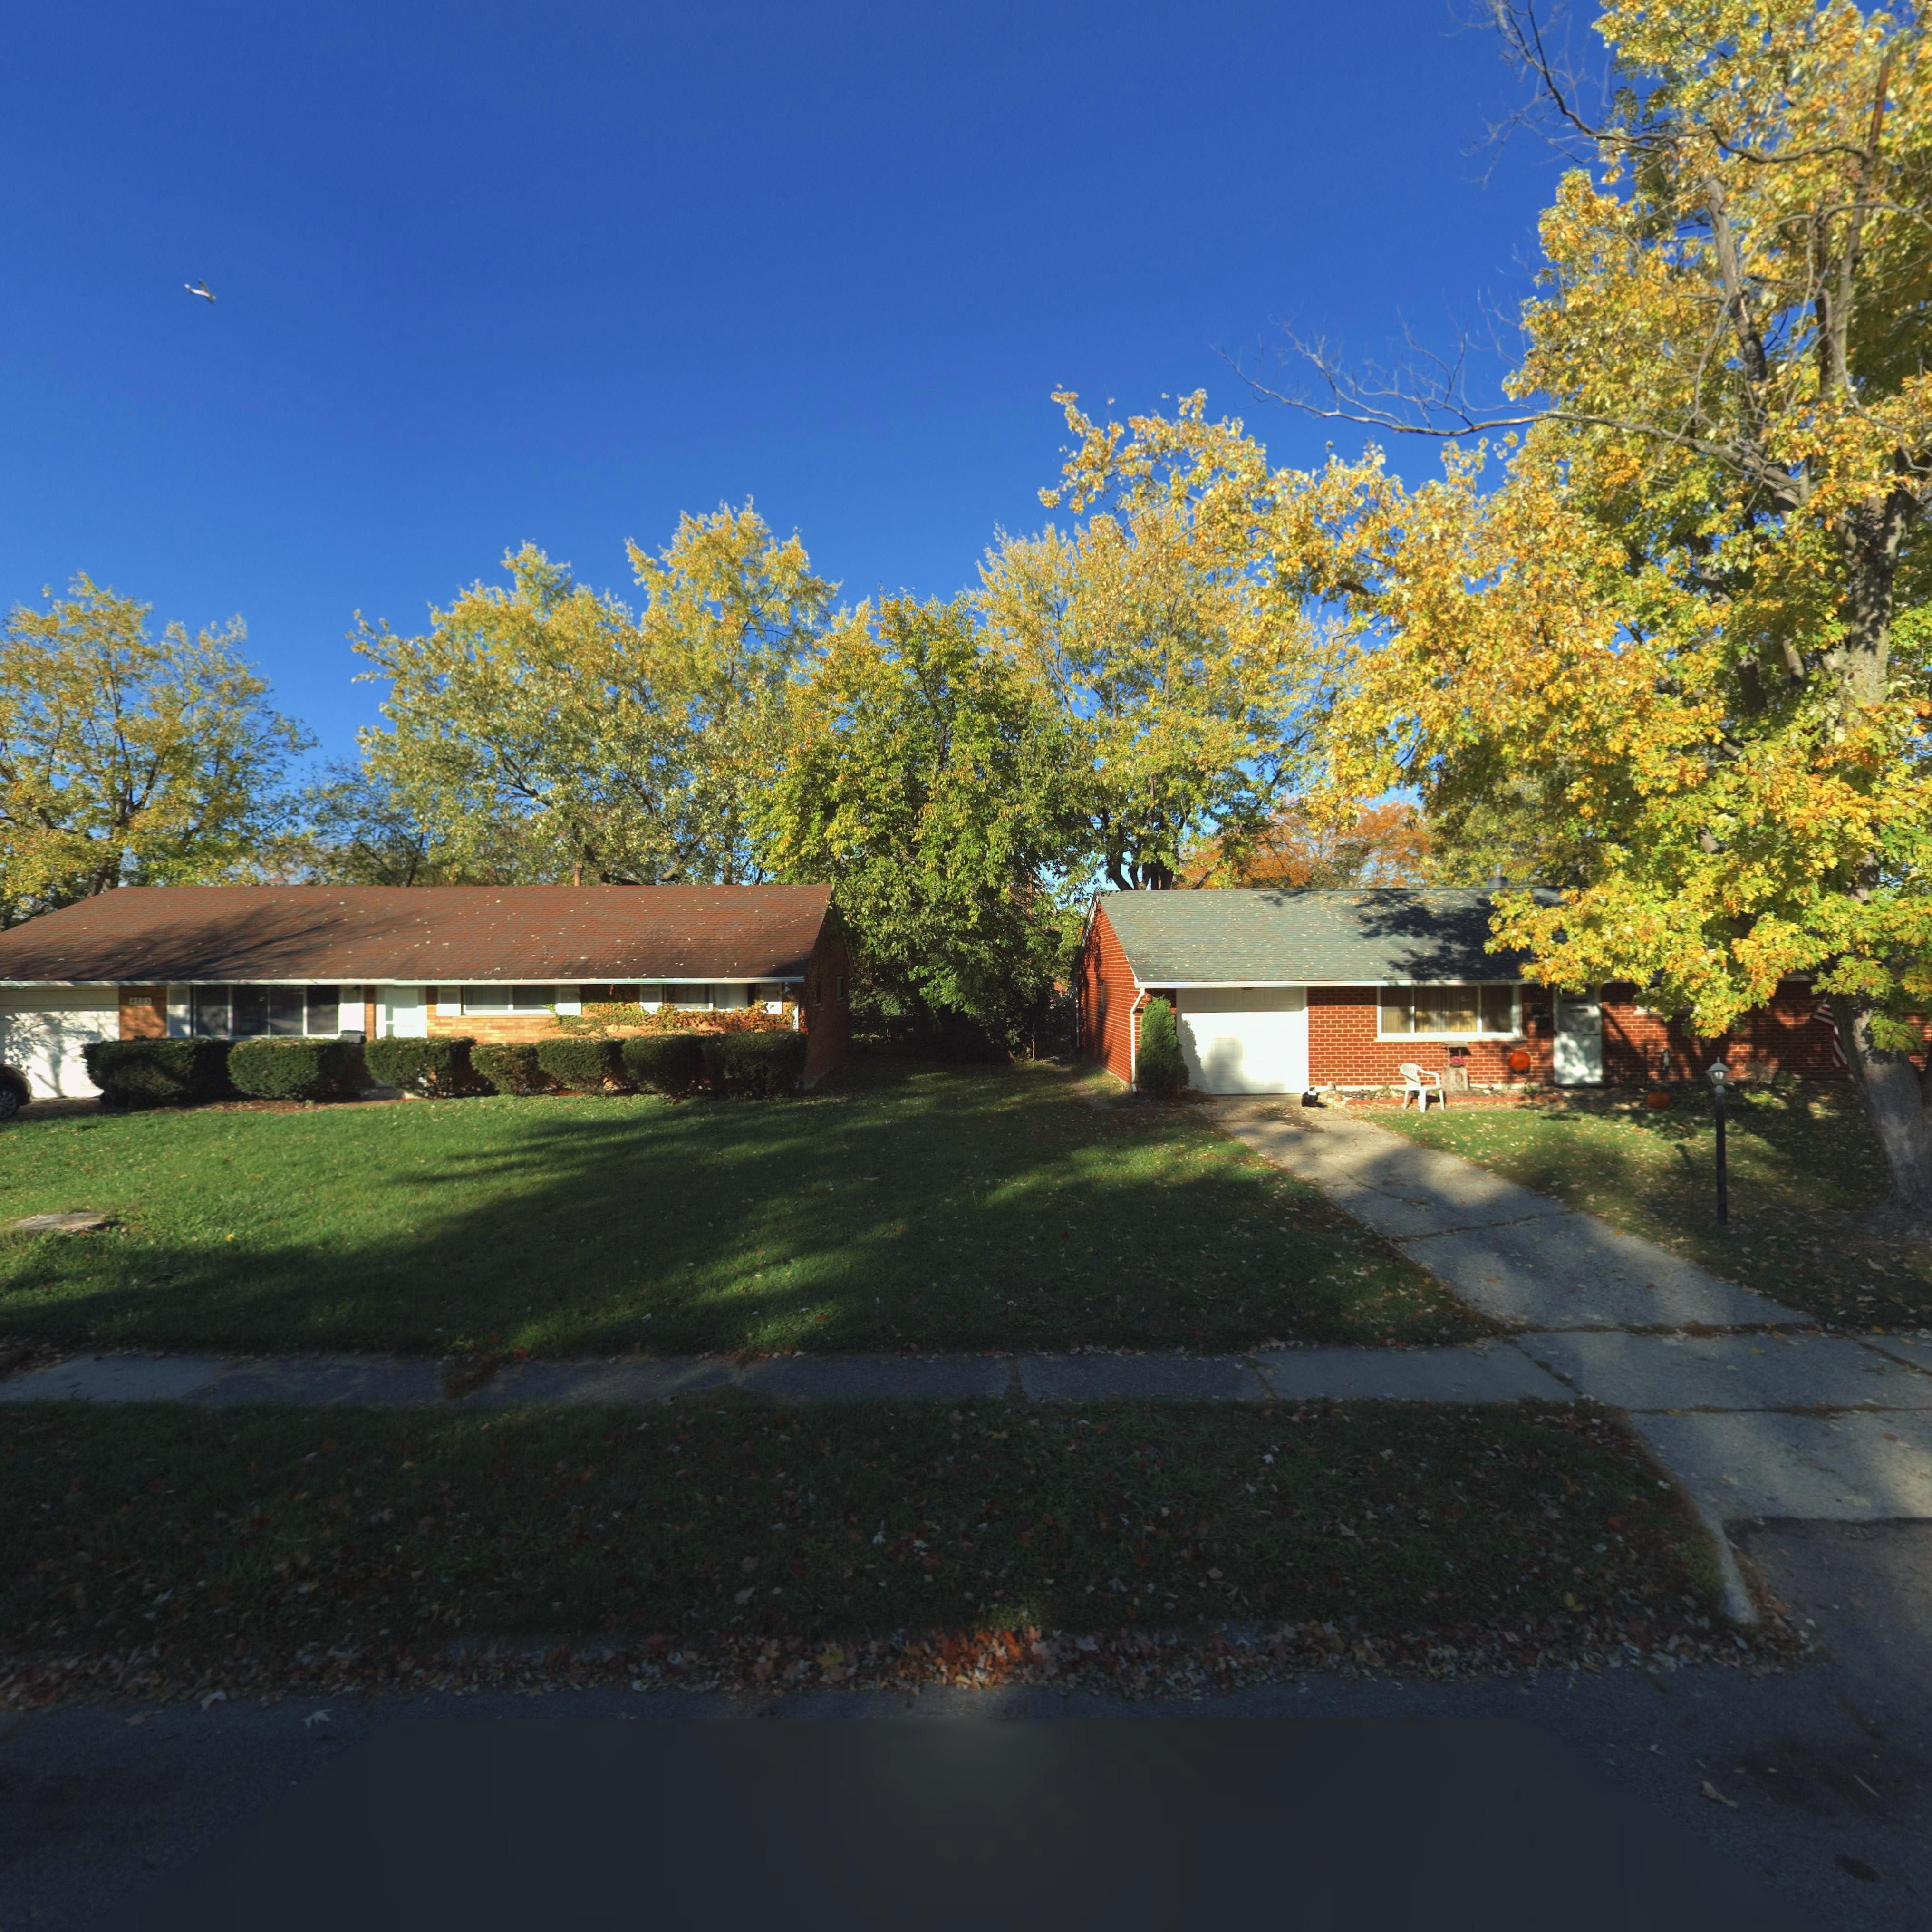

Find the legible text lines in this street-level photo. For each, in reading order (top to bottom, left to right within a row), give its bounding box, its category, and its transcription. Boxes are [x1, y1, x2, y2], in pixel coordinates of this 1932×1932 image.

[129, 997, 150, 1004] StreetNumber: 4195